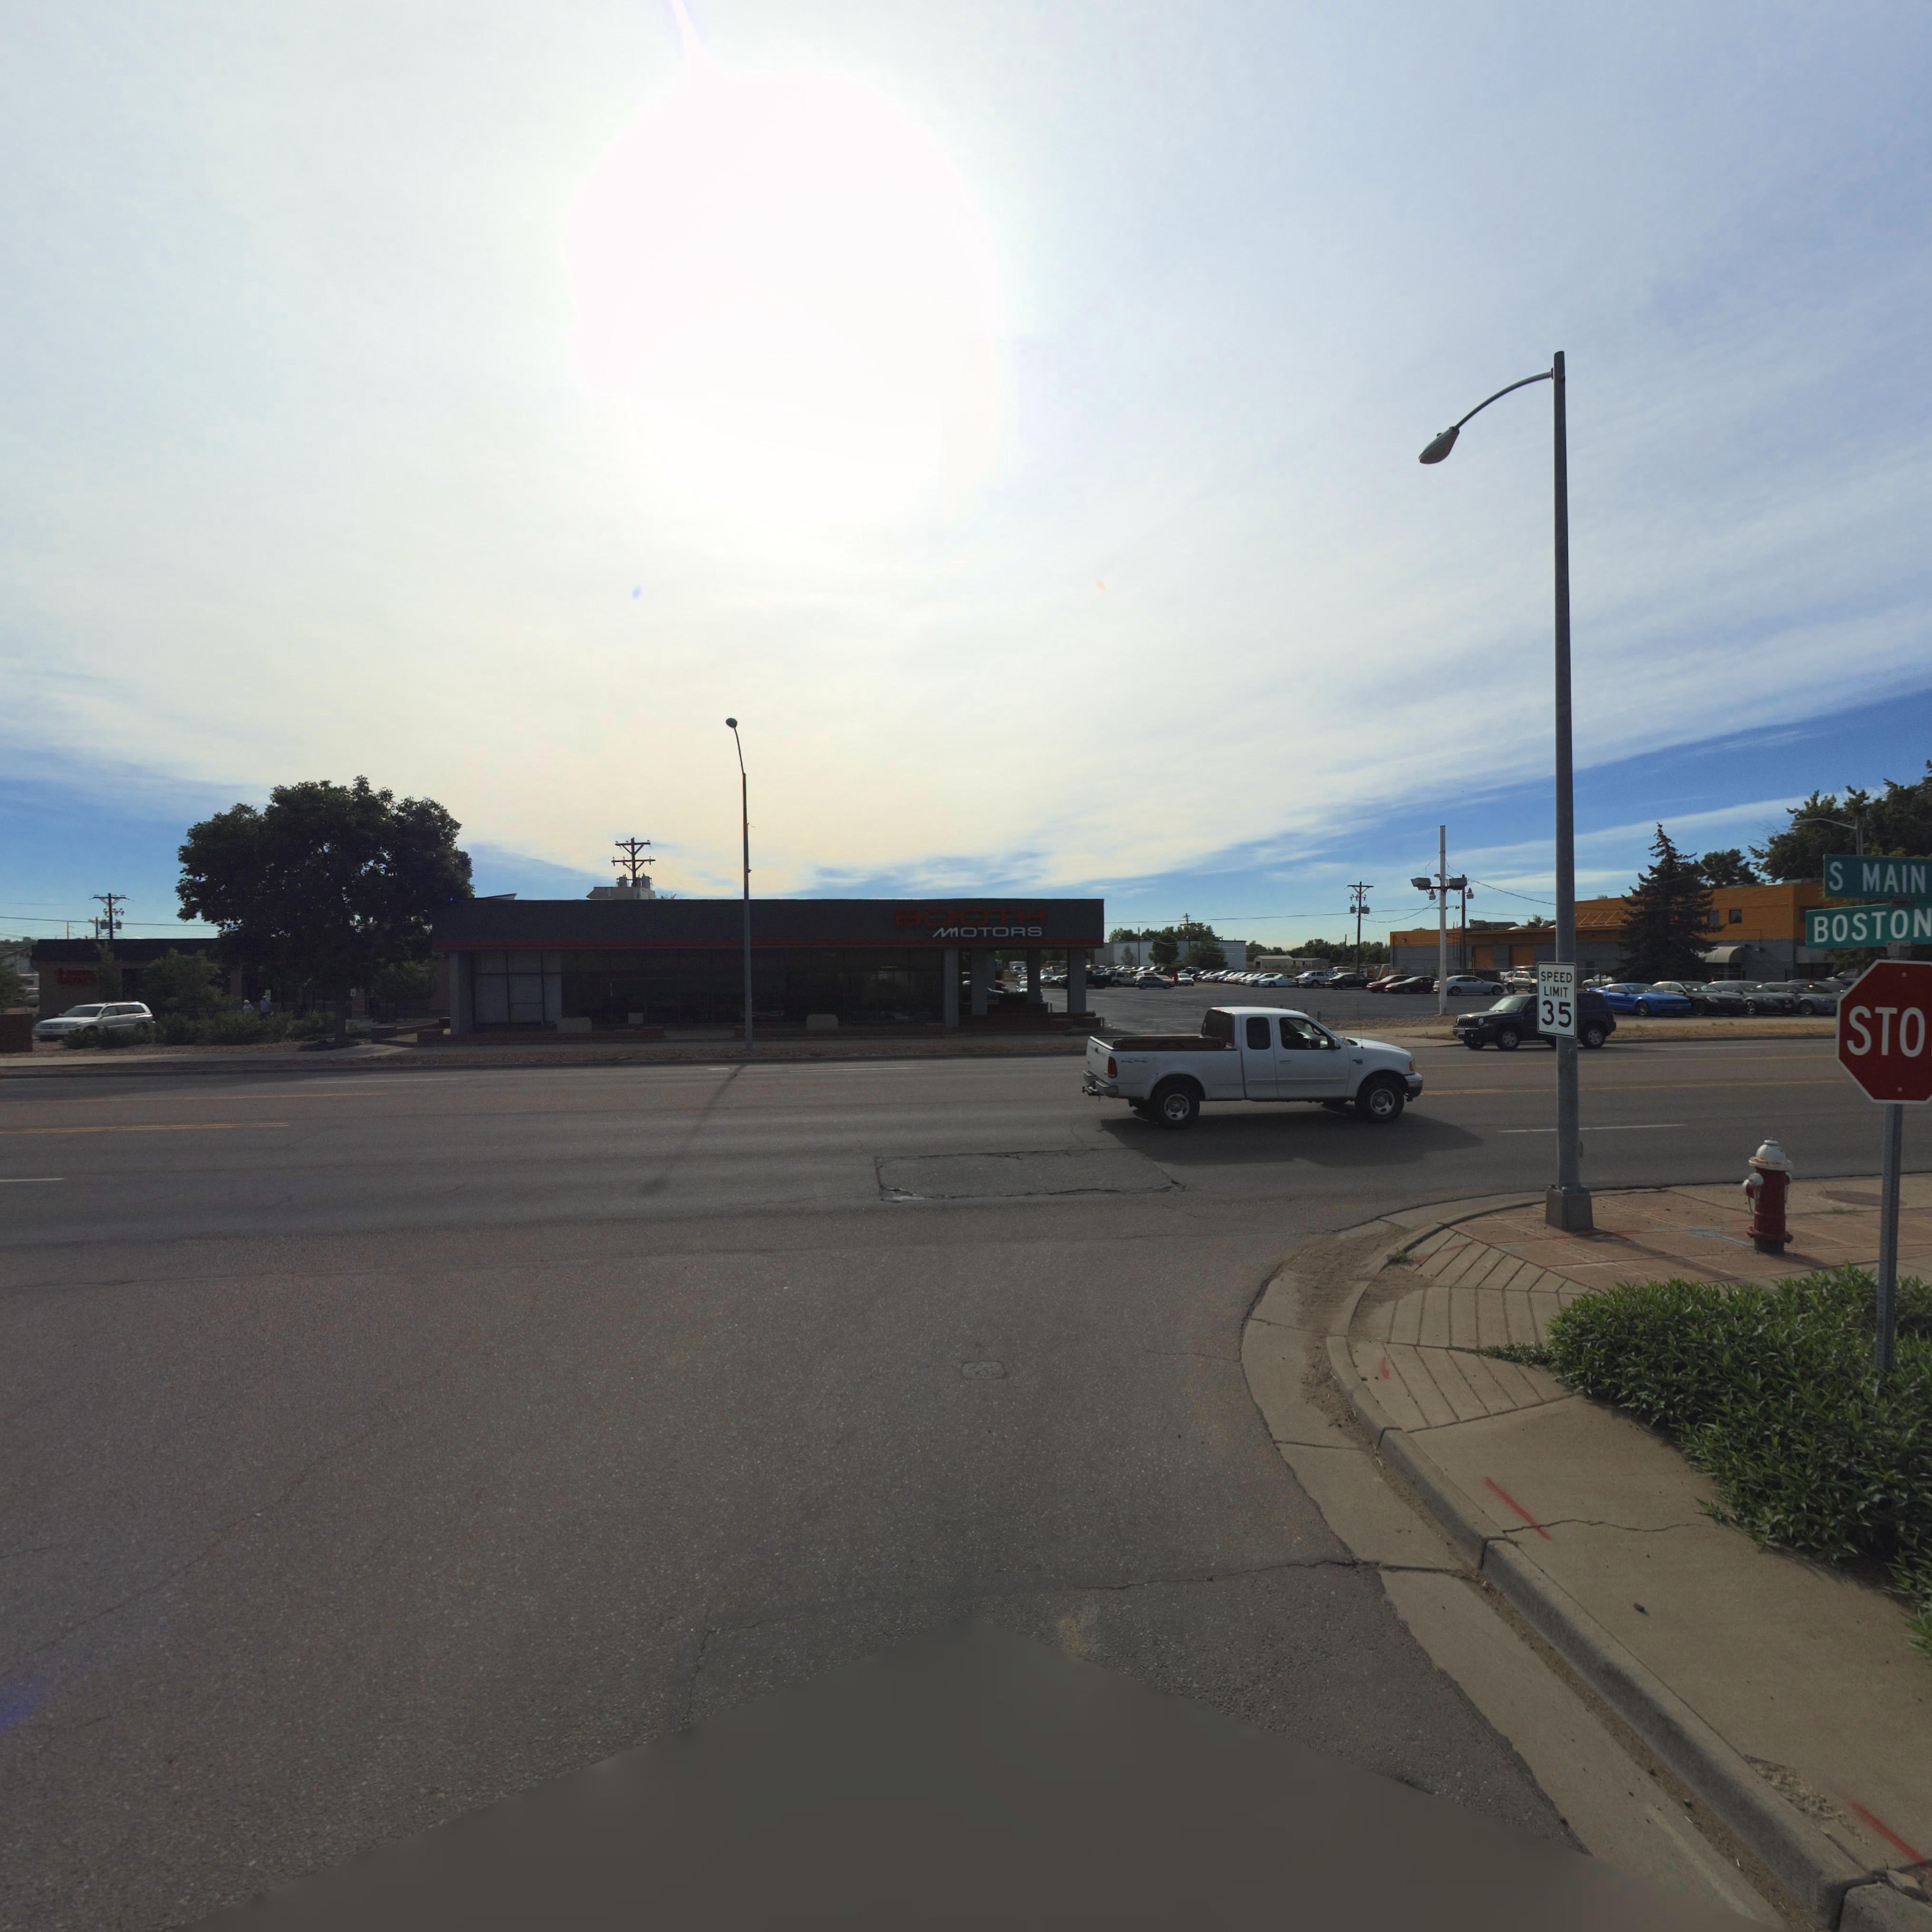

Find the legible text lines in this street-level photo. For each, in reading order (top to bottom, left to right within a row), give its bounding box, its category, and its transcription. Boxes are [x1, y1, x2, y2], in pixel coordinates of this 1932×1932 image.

[1829, 861, 1926, 894] StreetName: S MAIN
[894, 907, 1045, 926] BusinessName: BOOTH
[932, 926, 1043, 937] BusinessName: M*OTORS
[1814, 908, 1932, 942] StreetName: BOSTON